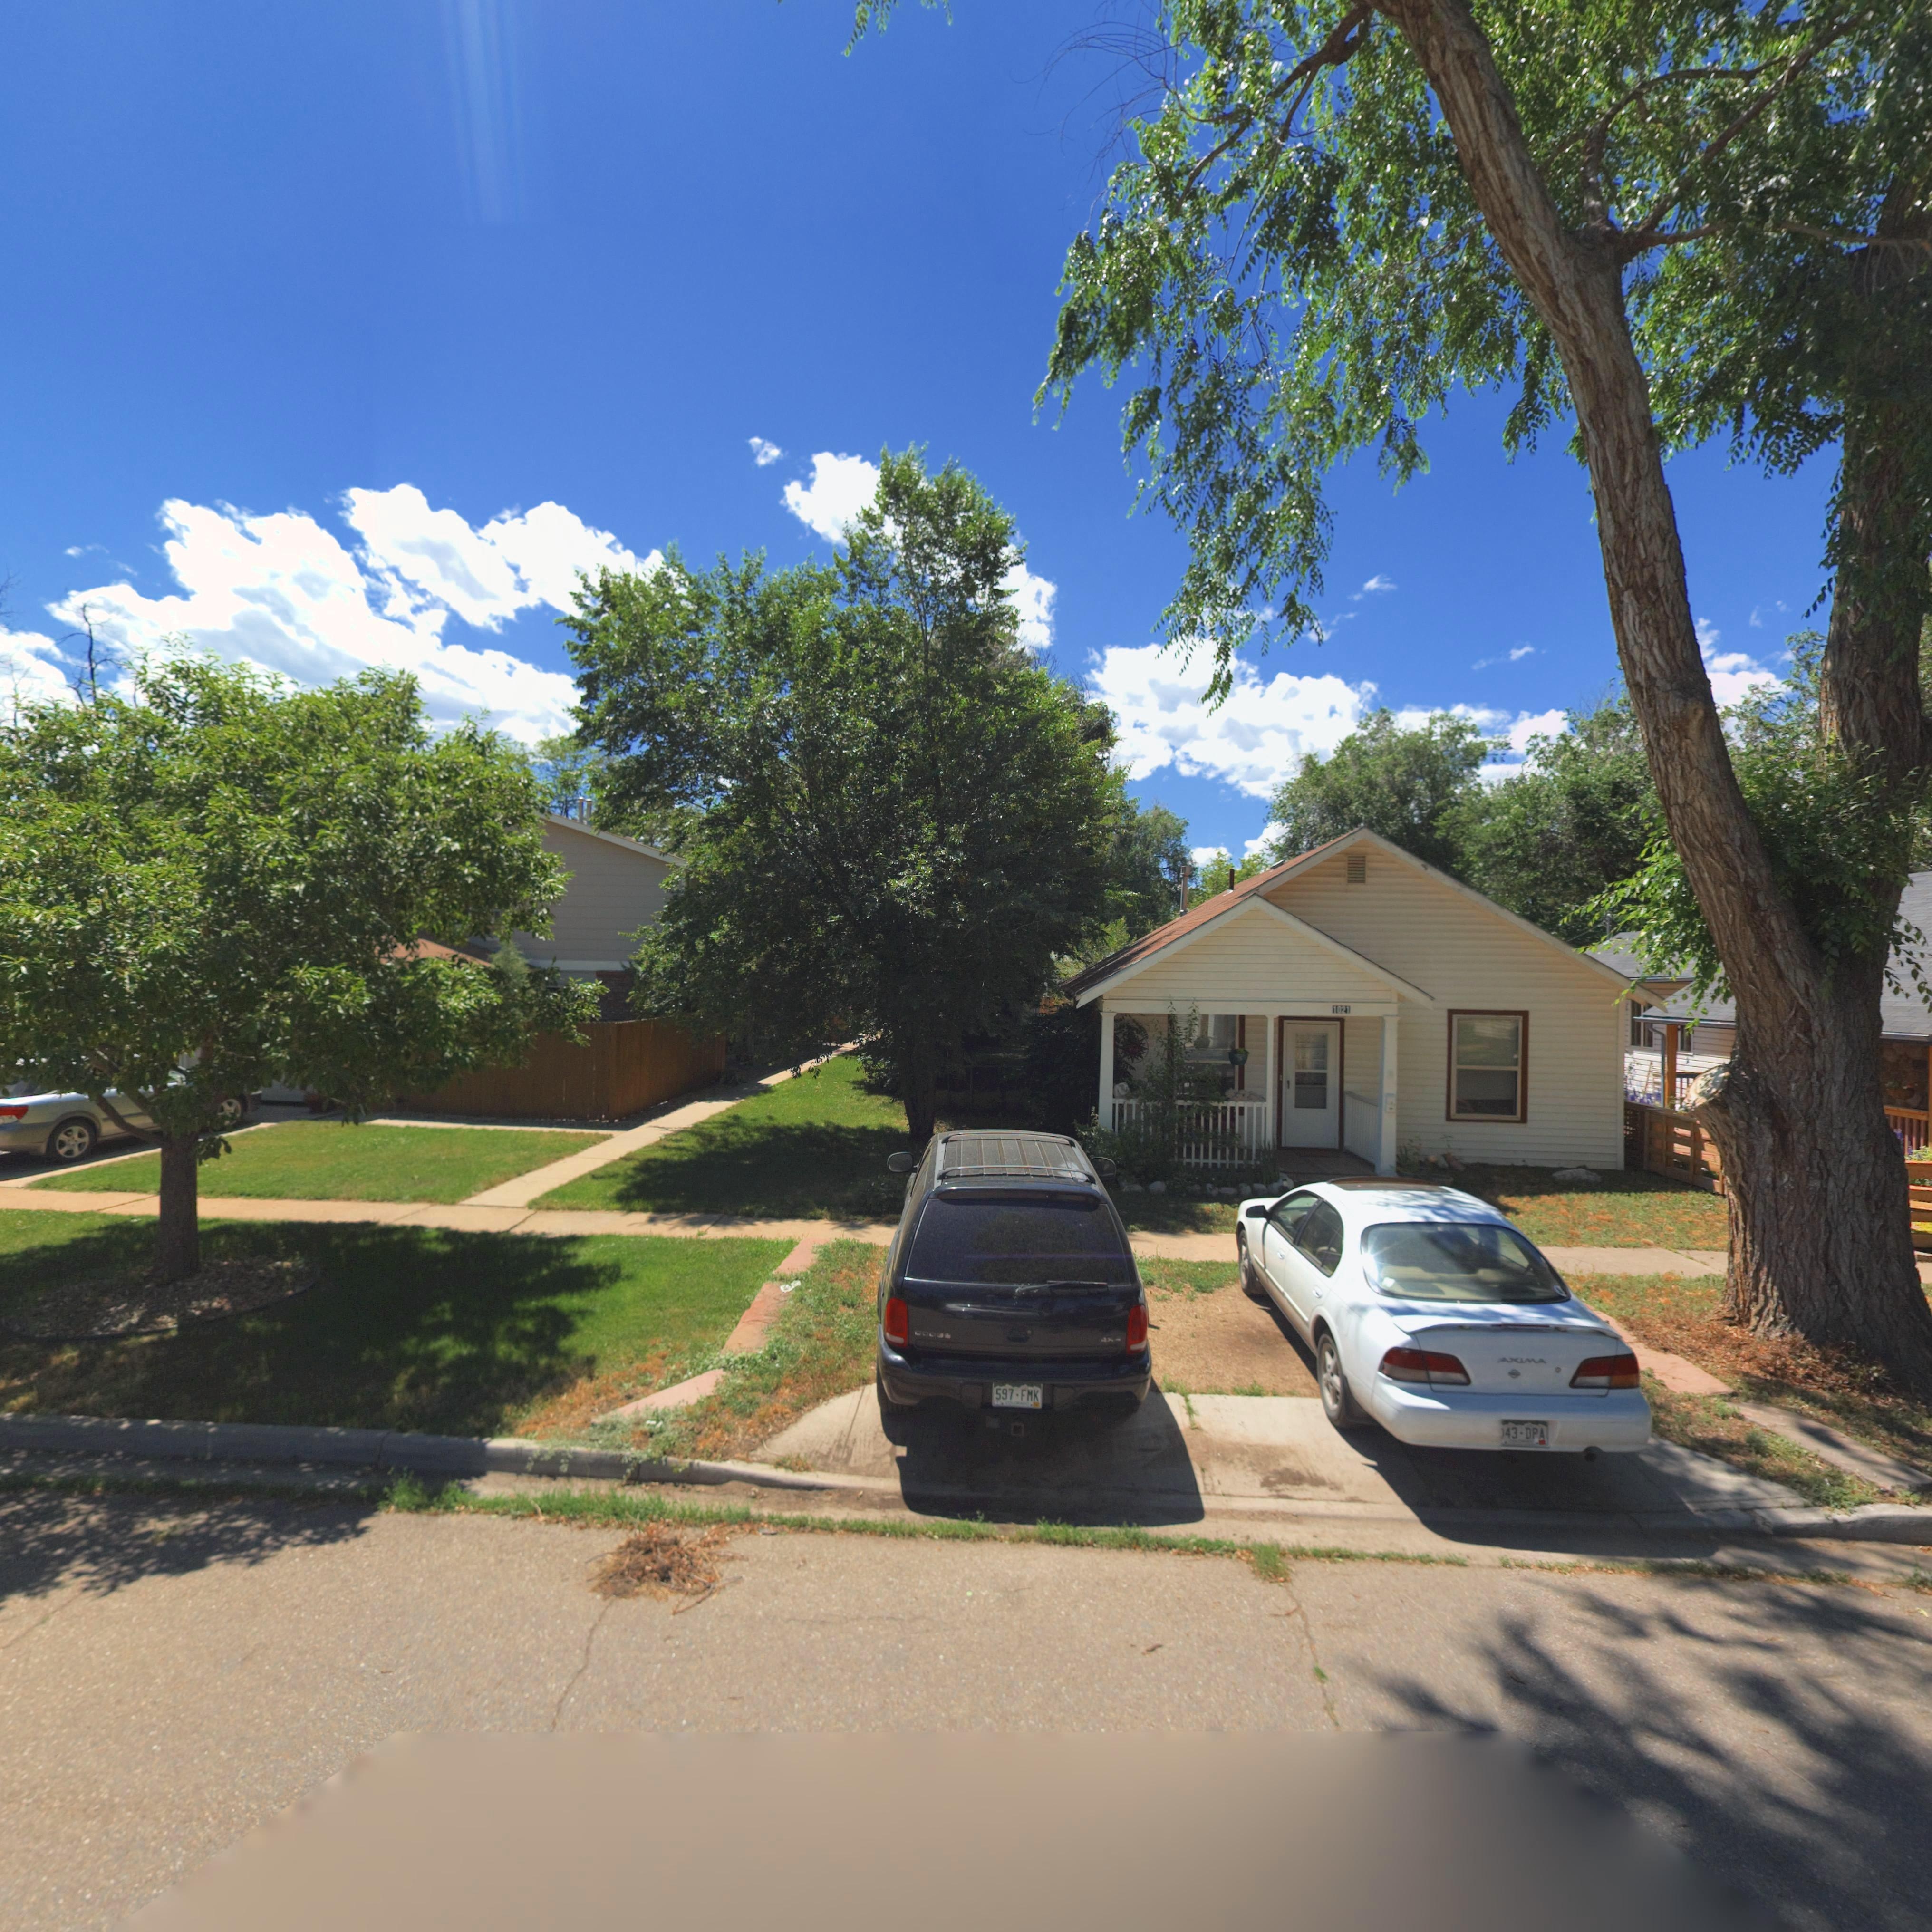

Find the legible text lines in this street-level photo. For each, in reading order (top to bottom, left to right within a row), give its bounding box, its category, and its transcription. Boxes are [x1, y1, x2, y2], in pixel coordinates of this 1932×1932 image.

[1333, 1005, 1350, 1013] StreetNumber: 1021